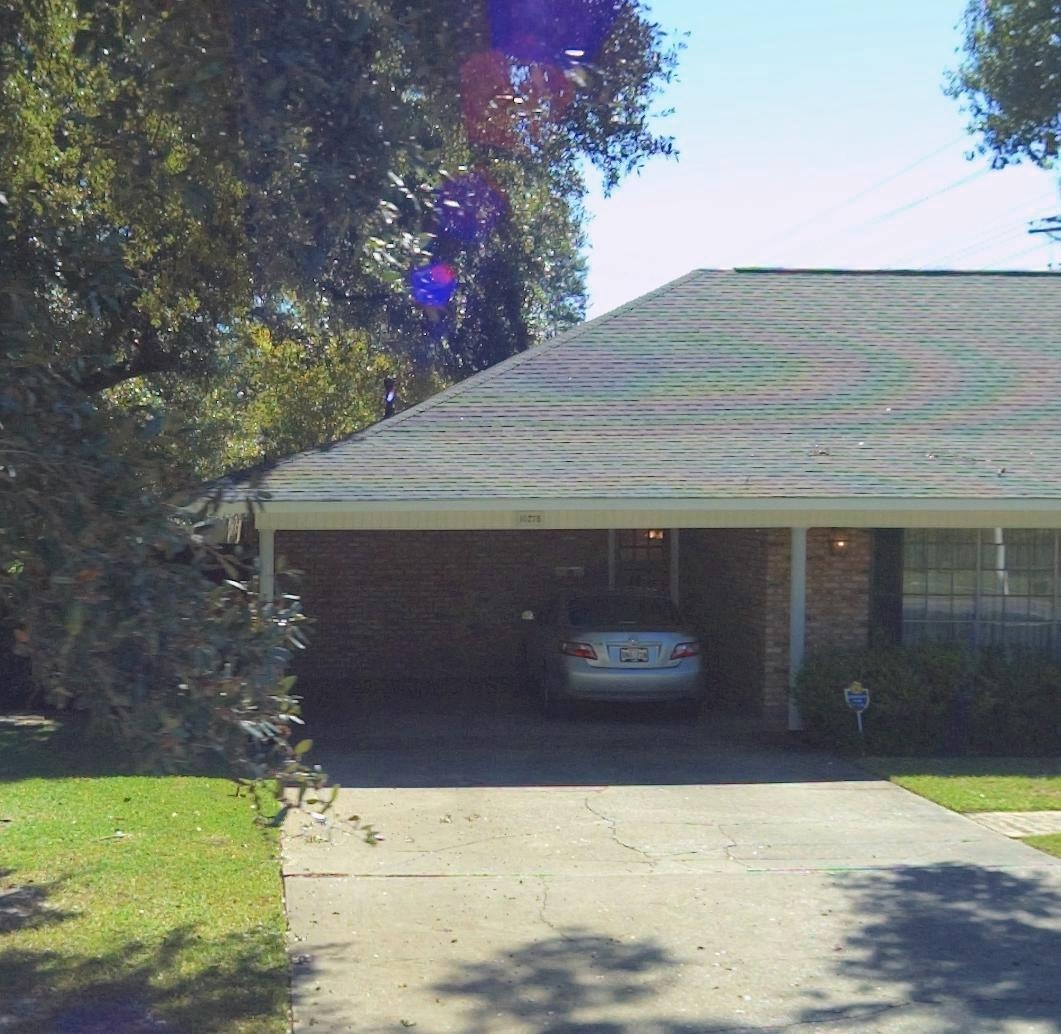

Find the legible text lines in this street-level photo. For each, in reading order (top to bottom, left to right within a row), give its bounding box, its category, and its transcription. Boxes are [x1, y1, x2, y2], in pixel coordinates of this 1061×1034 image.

[518, 513, 542, 525] StreetNumber: 1027*